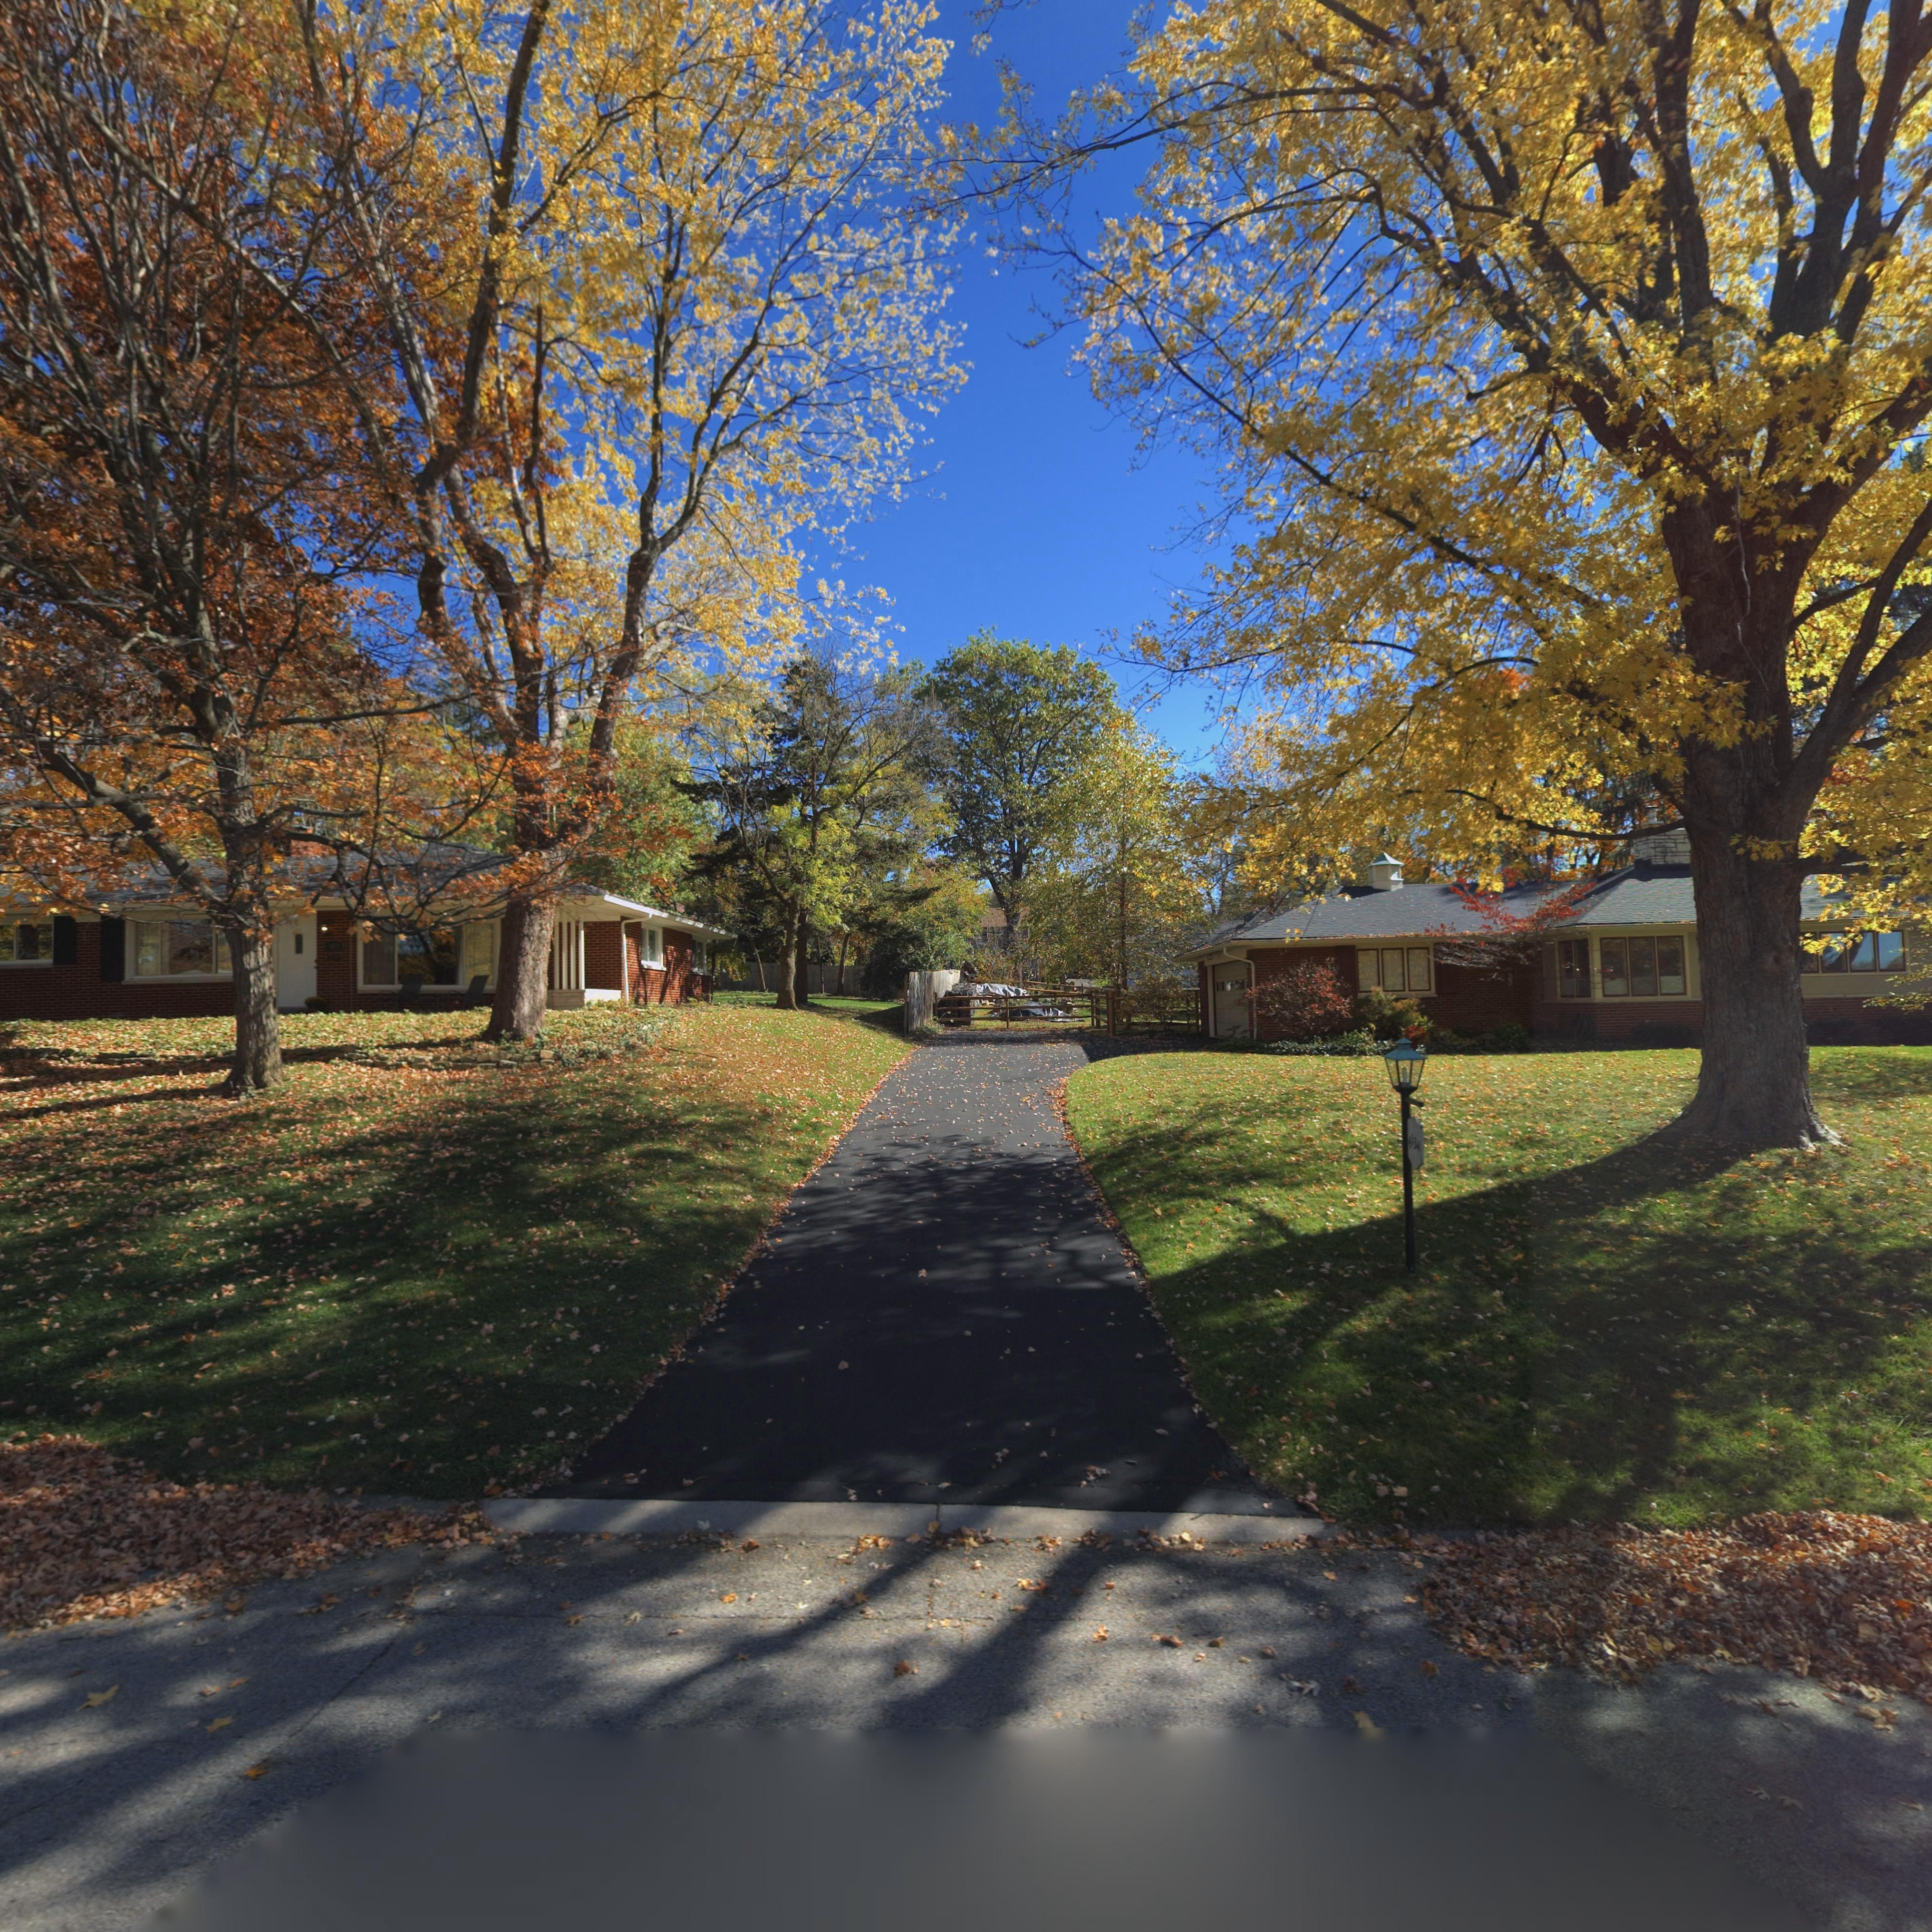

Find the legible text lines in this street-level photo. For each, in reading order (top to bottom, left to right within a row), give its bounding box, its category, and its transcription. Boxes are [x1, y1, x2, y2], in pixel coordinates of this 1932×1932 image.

[1407, 1133, 1421, 1154] StreetNumber: 4134